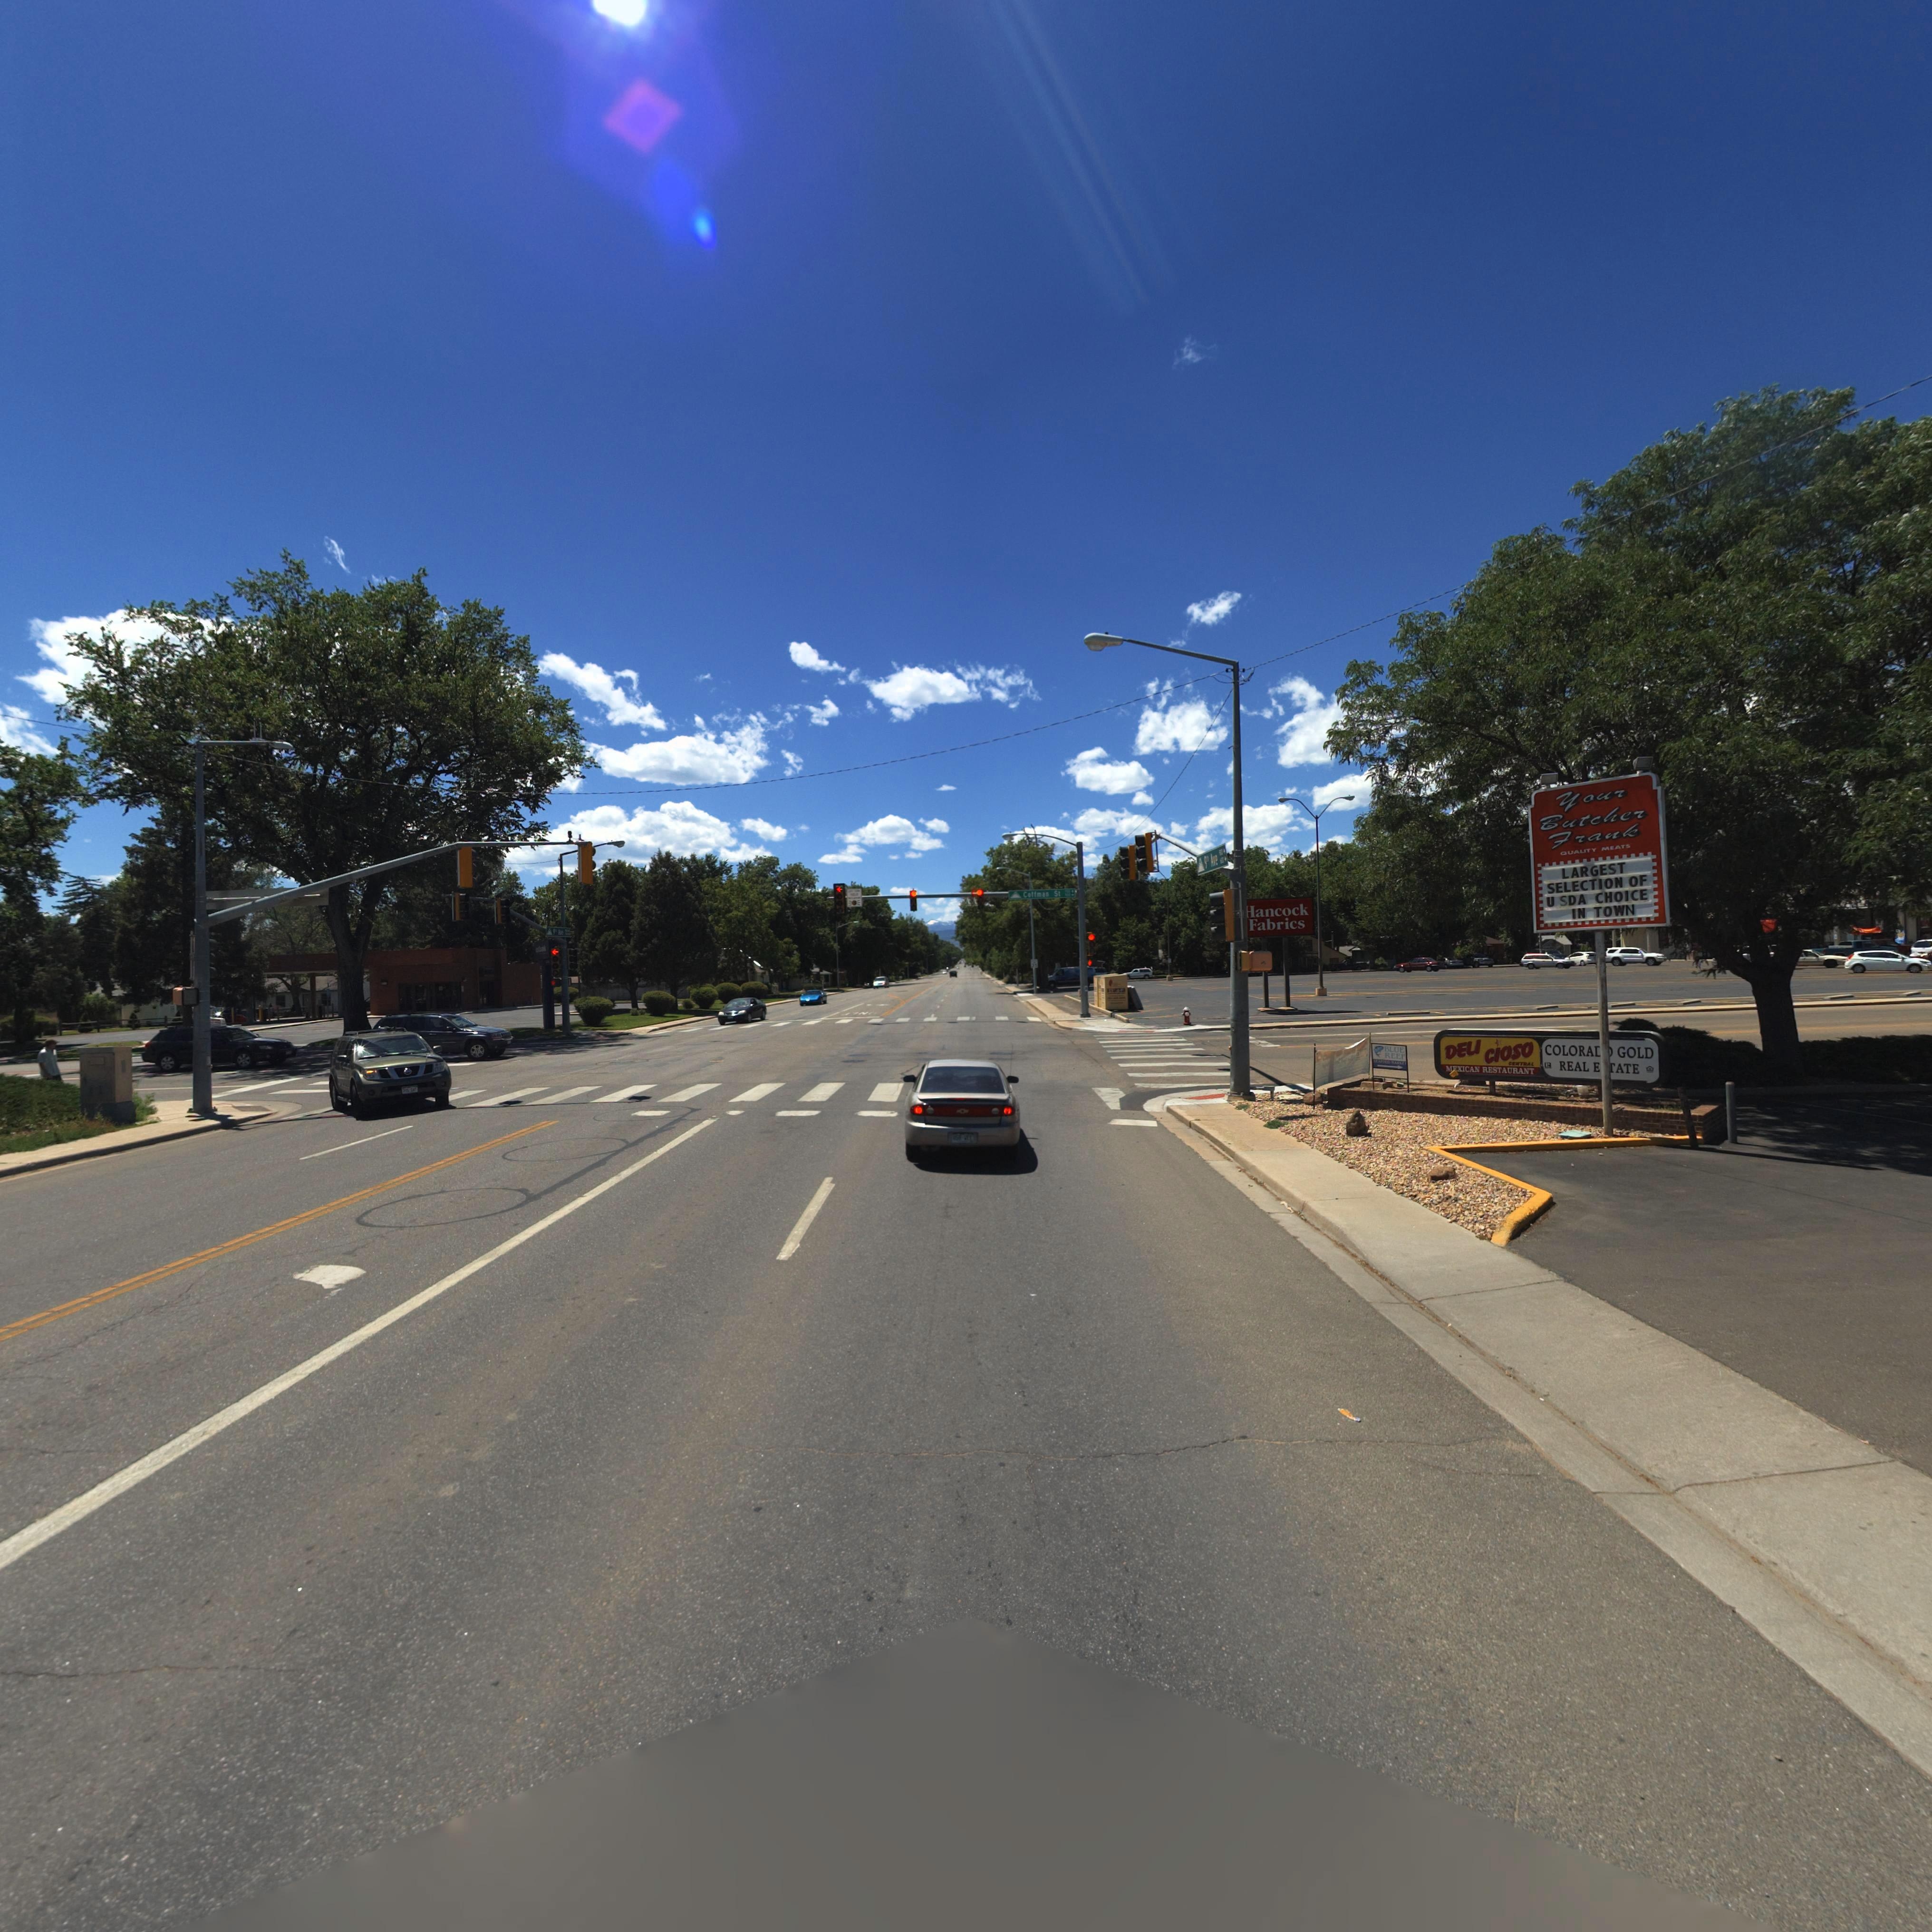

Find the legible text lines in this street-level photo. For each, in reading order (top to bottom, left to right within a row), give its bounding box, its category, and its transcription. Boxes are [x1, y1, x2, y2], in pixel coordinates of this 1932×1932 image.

[1555, 789, 1626, 813] BusinessName: *ou*
[1539, 805, 1645, 831] BusinessName: Butche*
[1546, 822, 1640, 850] BusinessName: **ank
[1218, 848, 1223, 856] StreetNumberRange: 9*0
[1203, 852, 1219, 870] StreetName: 9*h Ave
[1220, 856, 1227, 864] StreetNumberRange: 9*0 ->
[1023, 889, 1061, 898] StreetName: Coffman St
[1064, 889, 1071, 893] StreetNumberRange: *00
[1065, 893, 1074, 897] StreetNumberRange: *00 ->
[1245, 903, 1309, 918] BusinessName: *ancock
[1249, 917, 1305, 931] BusinessName: Fabrics
[552, 927, 563, 935] StreetName: 9** Ave
[535, 944, 546, 953] BusinessName: *sba*k
[1384, 1045, 1404, 1053] BusinessName: BLUE
[1385, 1052, 1406, 1059] BusinessName: REEF
[1444, 1038, 1482, 1061] BusinessName: DELI
[1483, 1038, 1535, 1065] BusinessName: C*OSO
[1545, 1044, 1654, 1059] BusinessName: COLORADO GOLD
[1372, 1059, 1406, 1065] BusinessName: SEAFOOD MARKET
[1445, 1065, 1535, 1075] BusinessName: M*XICAN RESTAURANT
[1508, 1061, 1534, 1066] BusinessName: CENTRAL
[1559, 1061, 1639, 1074] BusinessName: REAL E**ATE